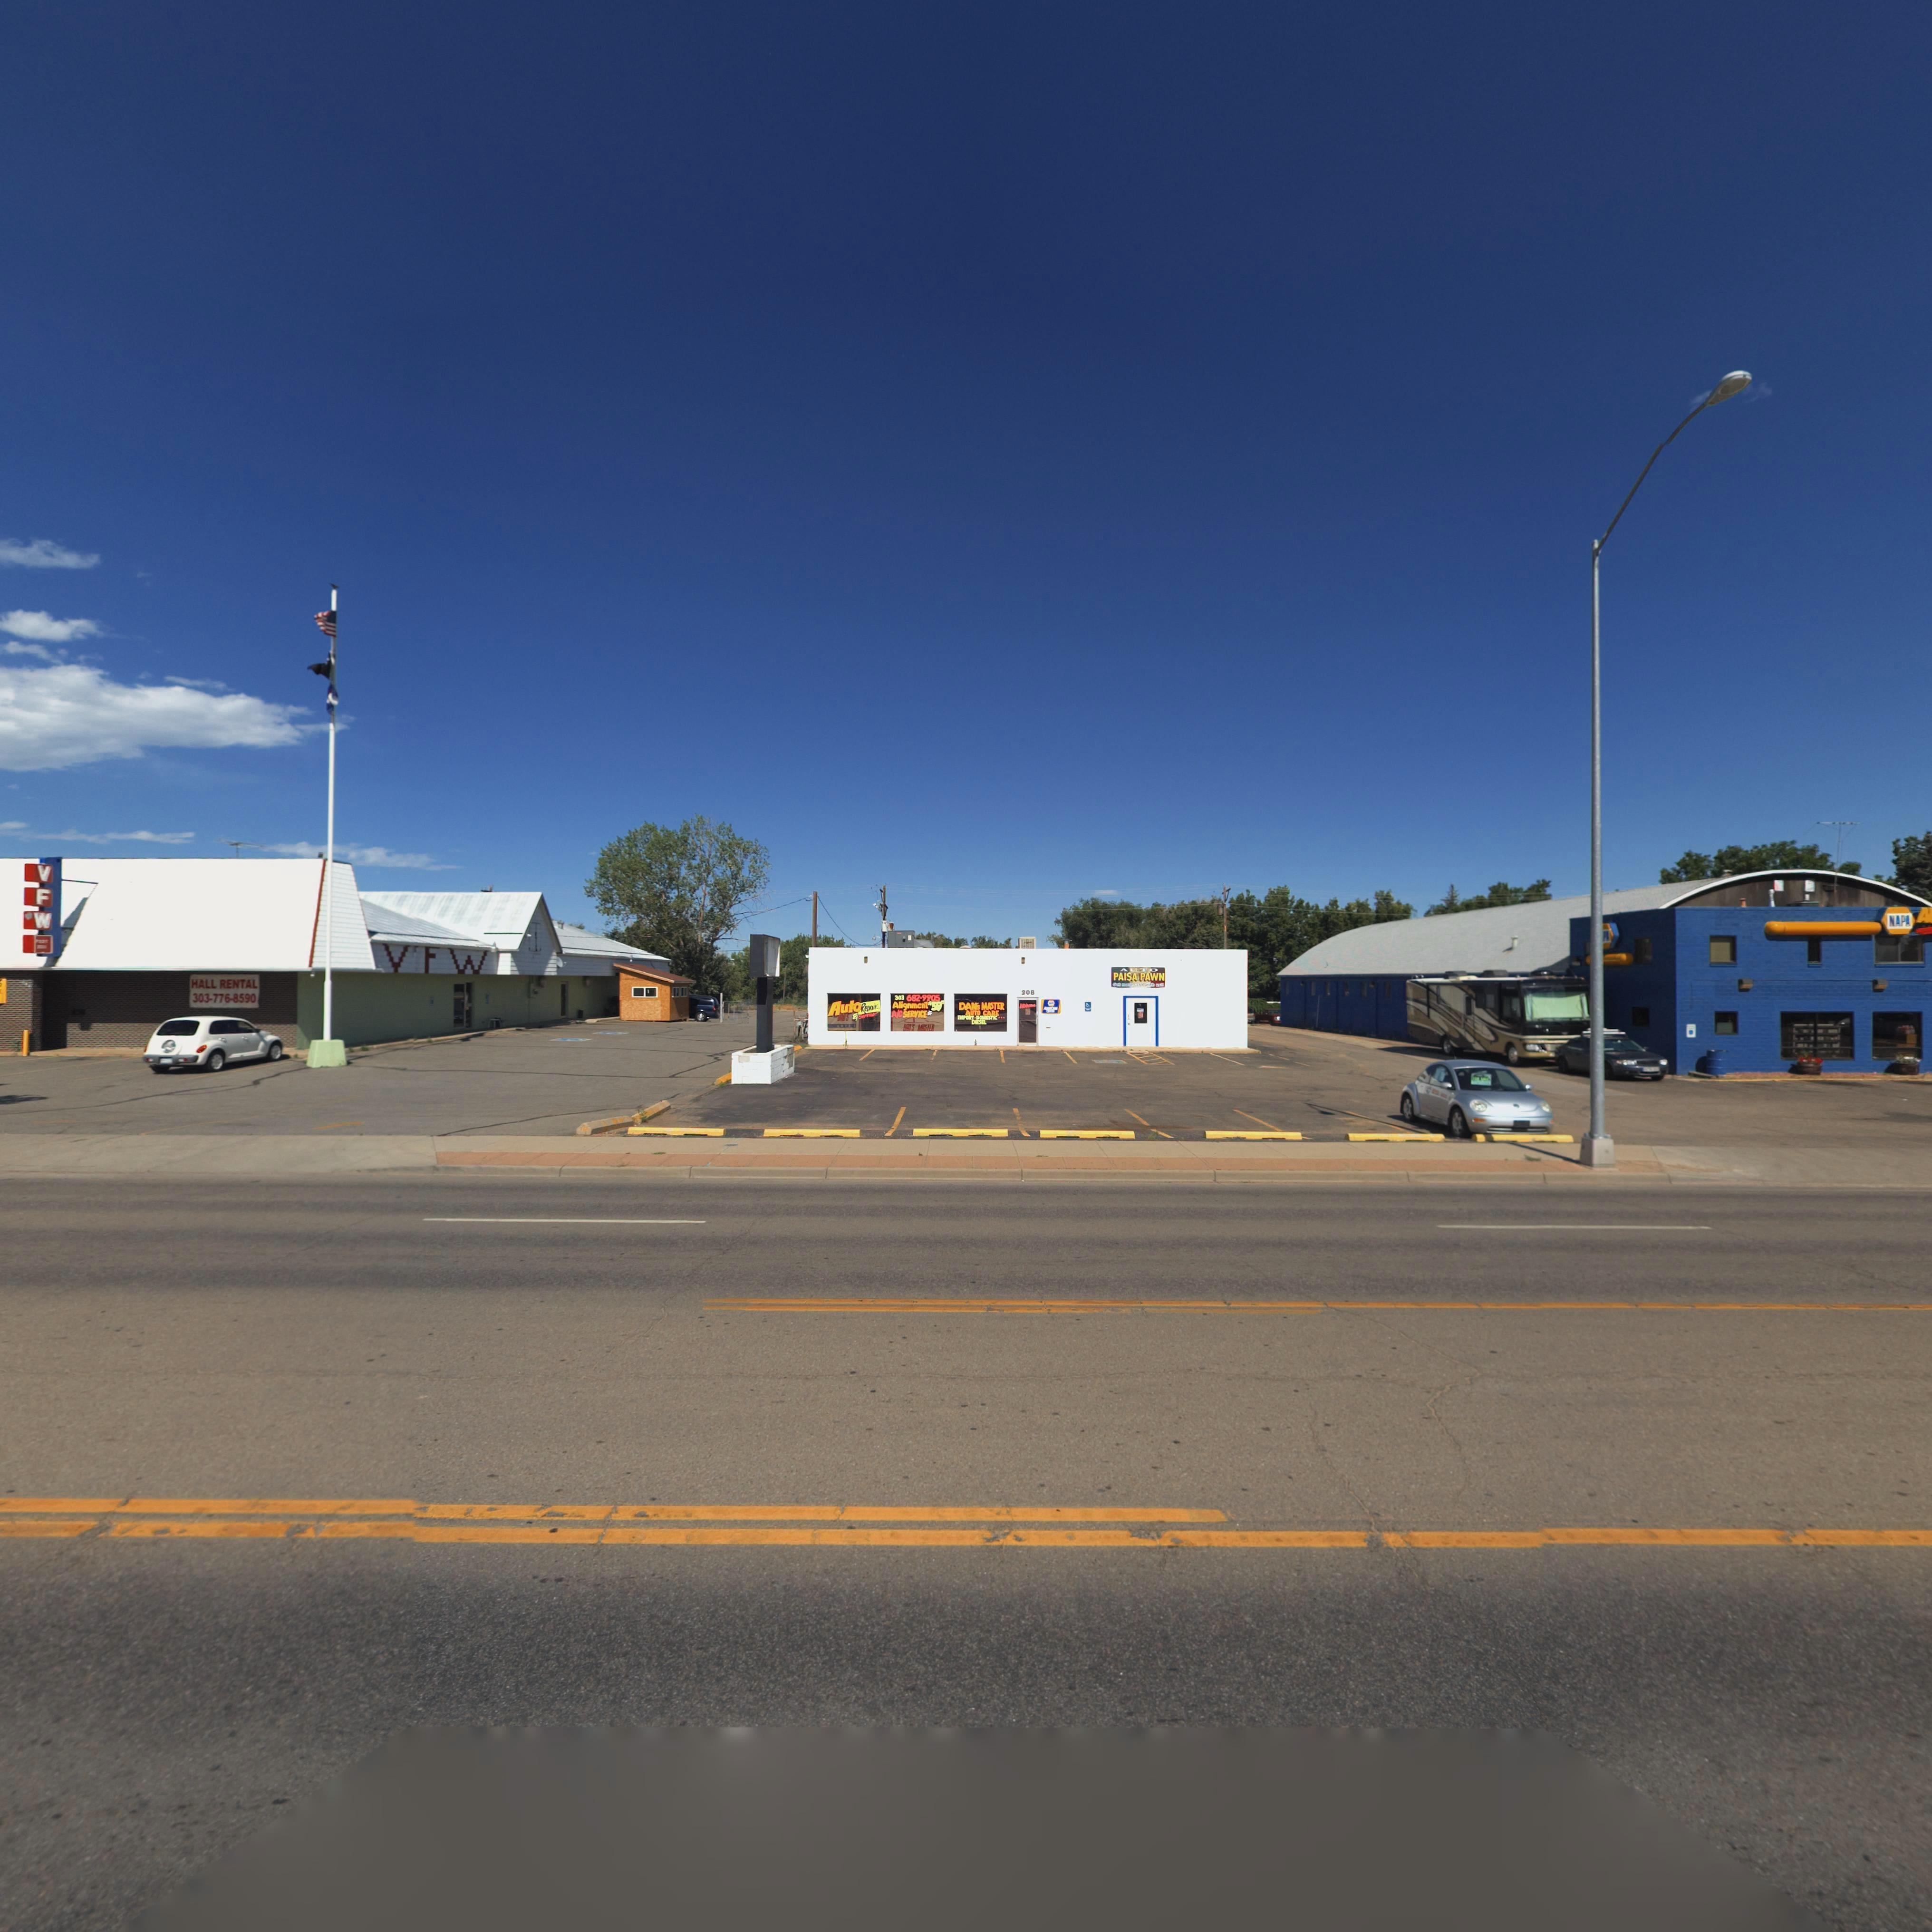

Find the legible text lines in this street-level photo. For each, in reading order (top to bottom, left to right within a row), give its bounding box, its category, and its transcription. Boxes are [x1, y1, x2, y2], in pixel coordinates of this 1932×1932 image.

[32, 864, 53, 929] BusinessName: VFW
[1914, 906, 1930, 924] BusinessName: A
[1889, 914, 1911, 927] BusinessName: NAPA
[1602, 930, 1610, 942] BusinessName: P*
[380, 941, 490, 975] BusinessName: VFW
[1119, 967, 1159, 972] BusinessName: AUTO
[1113, 972, 1165, 981] BusinessName: PAISA PAWN
[1020, 989, 1035, 995] StreetNumber: 208
[958, 1001, 1005, 1011] BusinessName: DANS MASTER
[965, 1009, 1000, 1016] BusinessName: AUTO CARE
[902, 1023, 935, 1032] BusinessName: ***'S M*STER